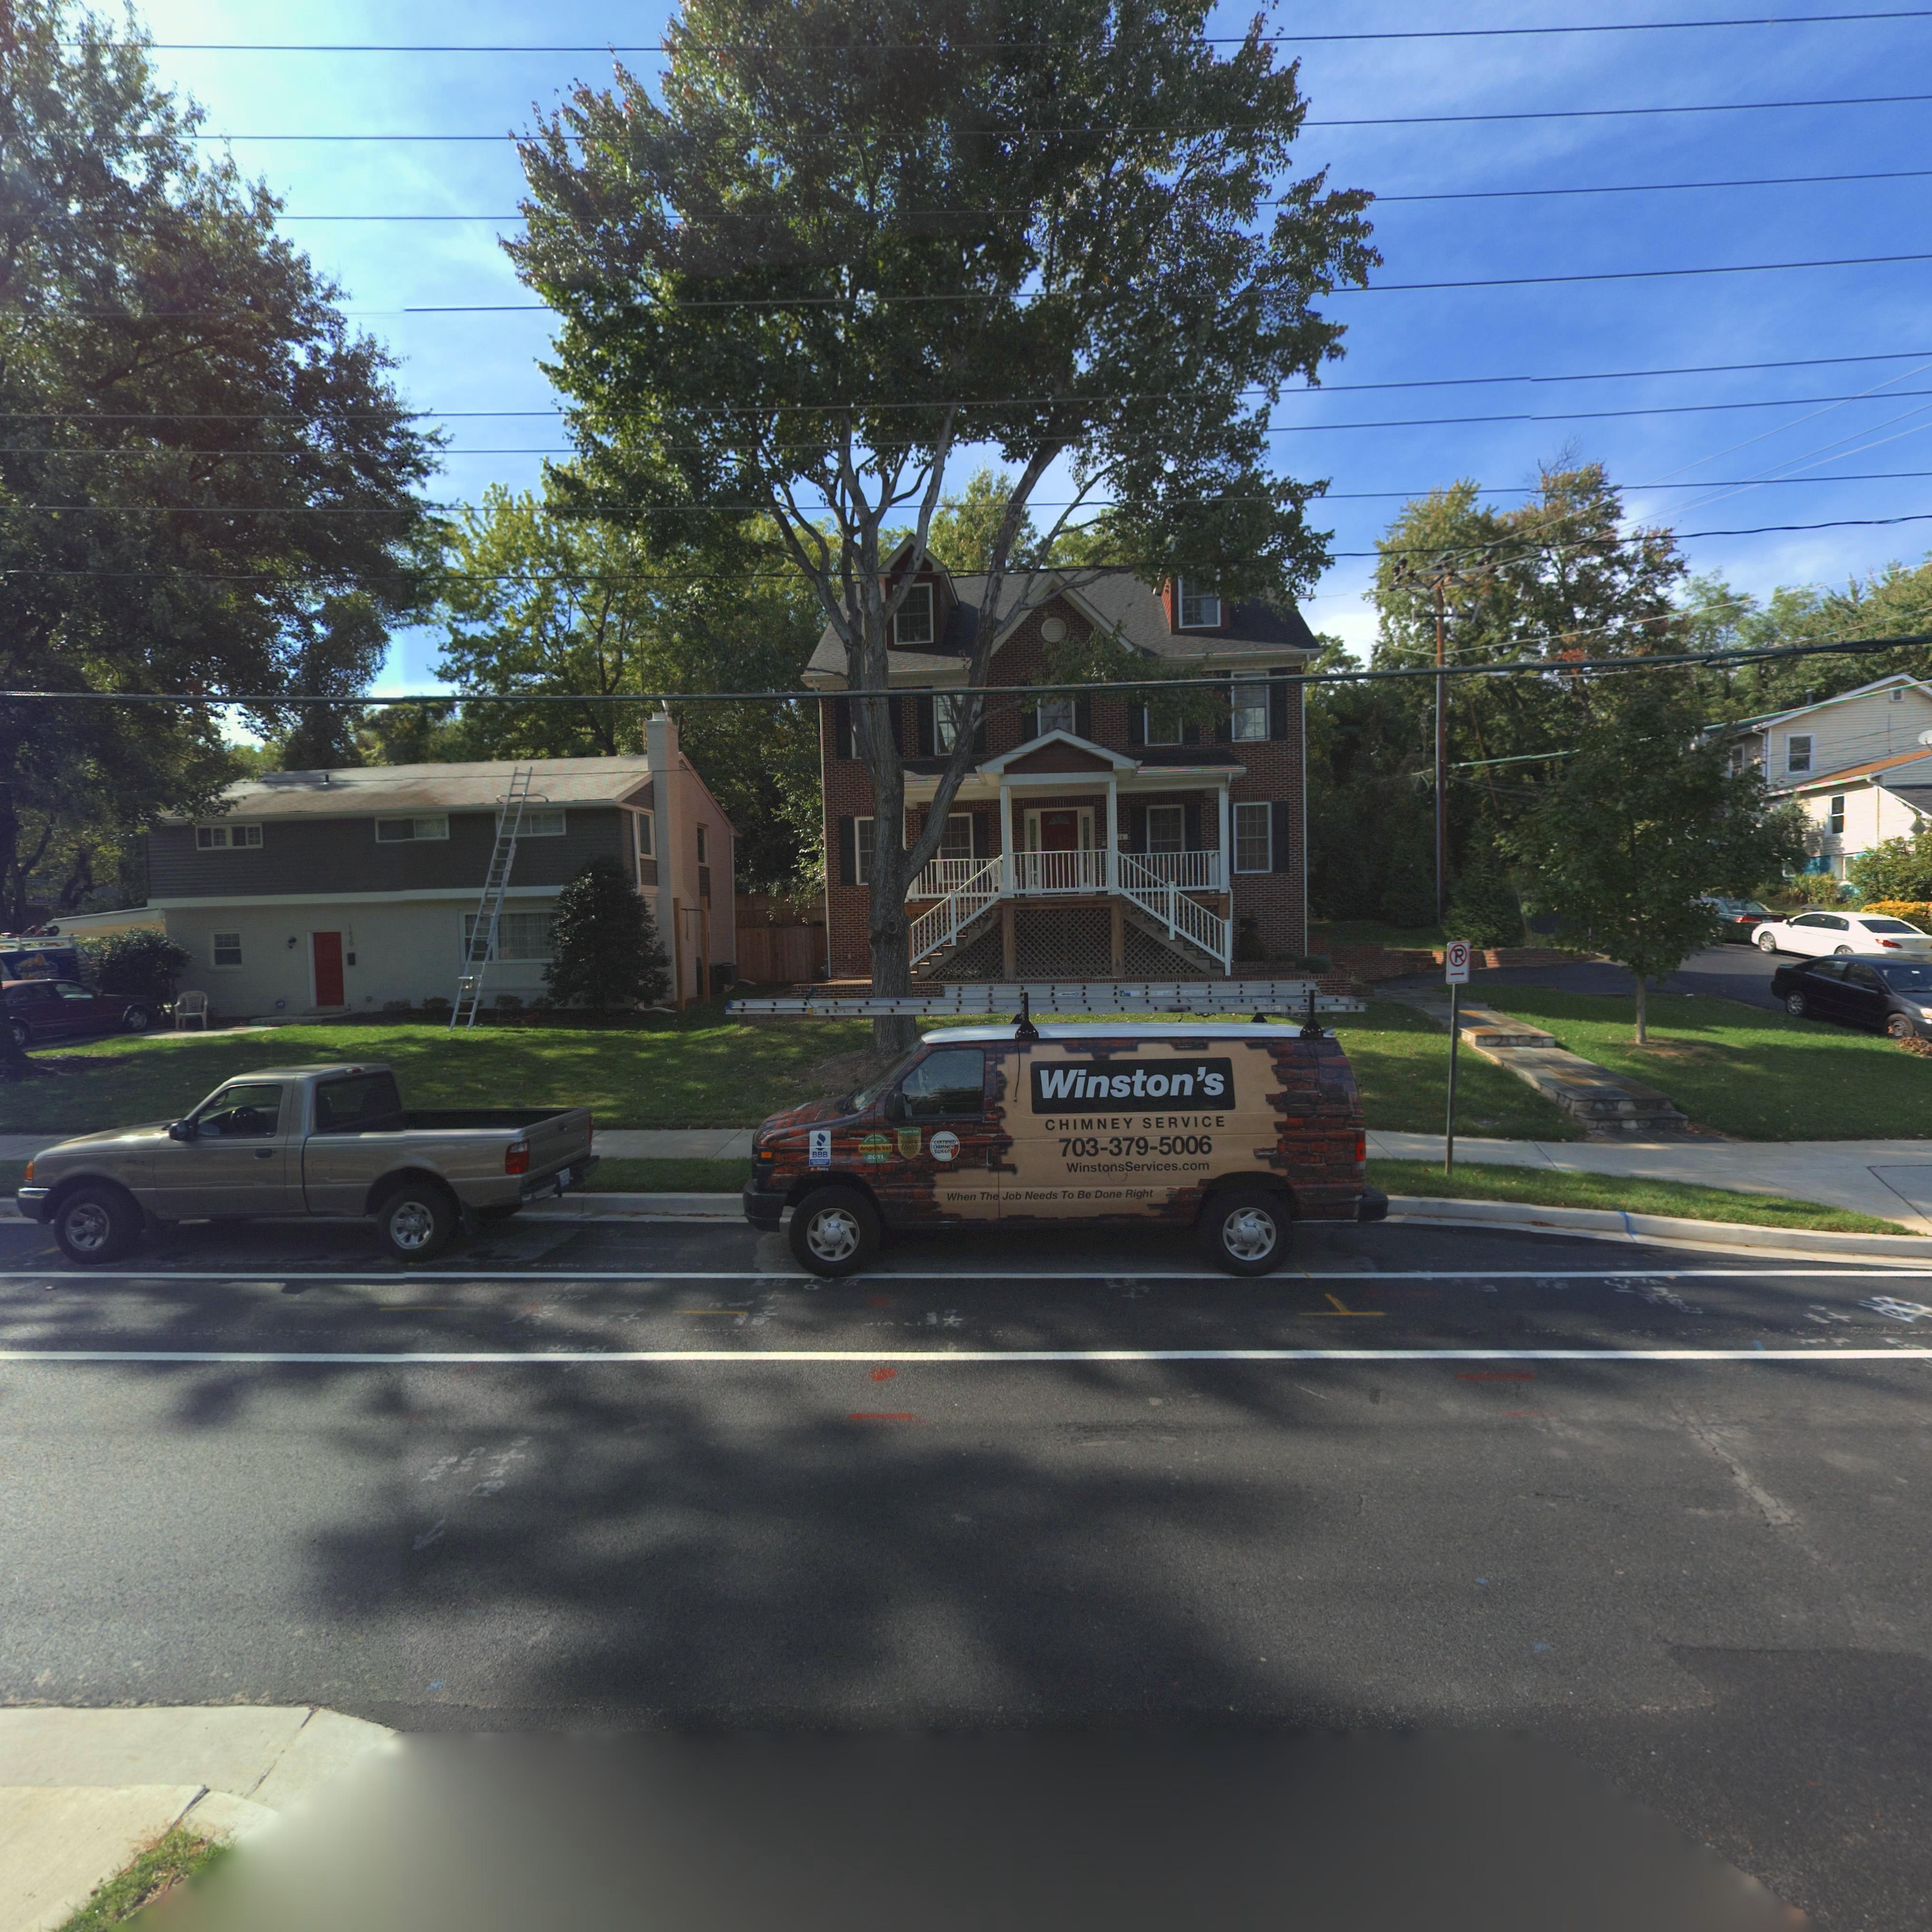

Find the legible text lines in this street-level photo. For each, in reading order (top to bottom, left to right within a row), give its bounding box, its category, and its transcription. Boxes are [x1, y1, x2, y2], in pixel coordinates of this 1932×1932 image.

[1117, 833, 1125, 840] StreetNumber: 36
[346, 922, 355, 948] StreetNumber: 1630
[1037, 1064, 1227, 1101] None: Winston's
[1043, 1114, 1226, 1132] None: CHIMNEY SERVICE
[811, 1150, 829, 1159] None: BBB
[859, 1145, 873, 1152] None: Ang
[866, 1153, 885, 1160] None: 2011
[881, 1144, 892, 1151] None: list
[900, 1138, 918, 1147] None: SUPER
[933, 1148, 952, 1155] None: SWEEP
[932, 1143, 955, 1150] None: CHIMNEY
[932, 1139, 957, 1145] None: CERT**IED
[1057, 1133, 1214, 1159] None: 703-379-5006
[1065, 1159, 1211, 1174] None: WinstonsServices.com
[946, 1188, 1155, 1202] None: When The Job Needs To Be Done Right